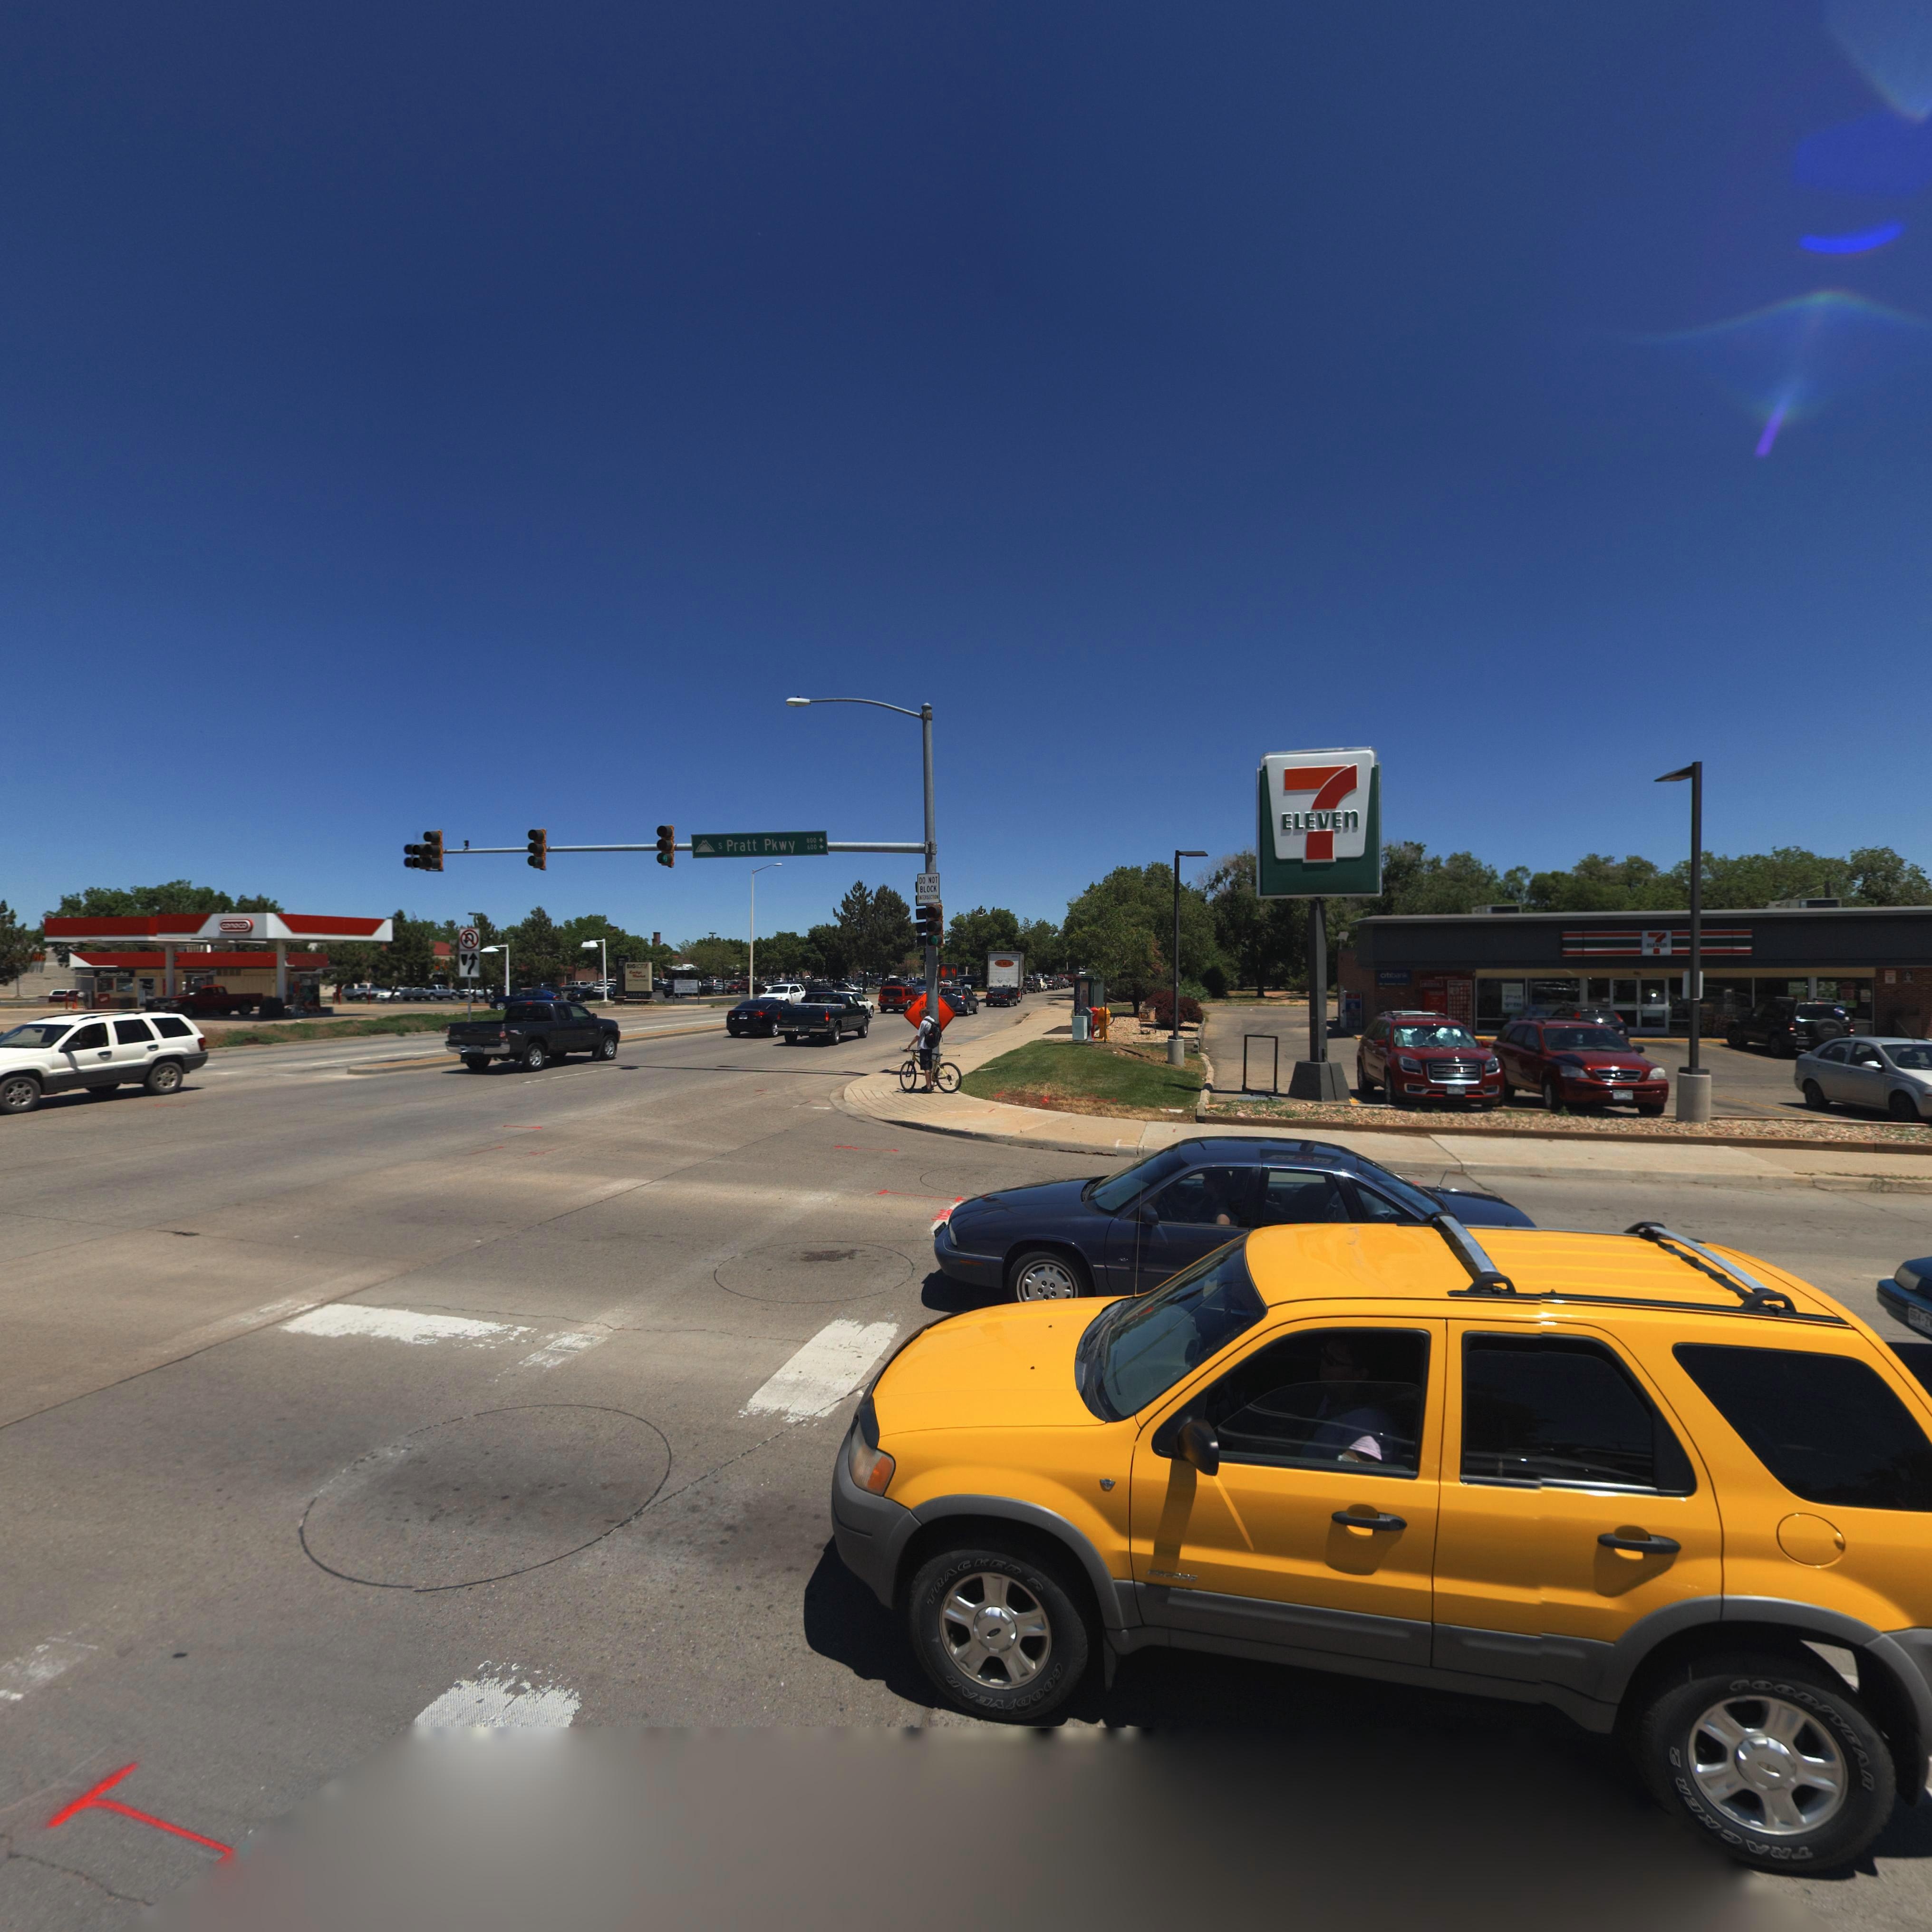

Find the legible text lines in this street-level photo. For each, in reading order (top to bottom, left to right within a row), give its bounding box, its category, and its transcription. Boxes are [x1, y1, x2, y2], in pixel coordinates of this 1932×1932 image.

[1283, 763, 1358, 861] BusinessName: 7
[1281, 808, 1359, 830] BusinessName: ELEVEN
[806, 837, 816, 843] StreetNumberRange: 800
[718, 838, 795, 853] StreetName: S Pratt Pkwy
[806, 844, 824, 850] StreetNumberRange: 600->
[221, 923, 247, 928] BusinessName: conoco
[1646, 942, 1667, 948] BusinessName: ELEVEN
[1647, 931, 1667, 955] BusinessName: 7
[627, 963, 648, 968] BusinessName: BIG LOTS!
[628, 970, 642, 975] BusinessName: Lucky's
[632, 974, 646, 978] BusinessName: Market